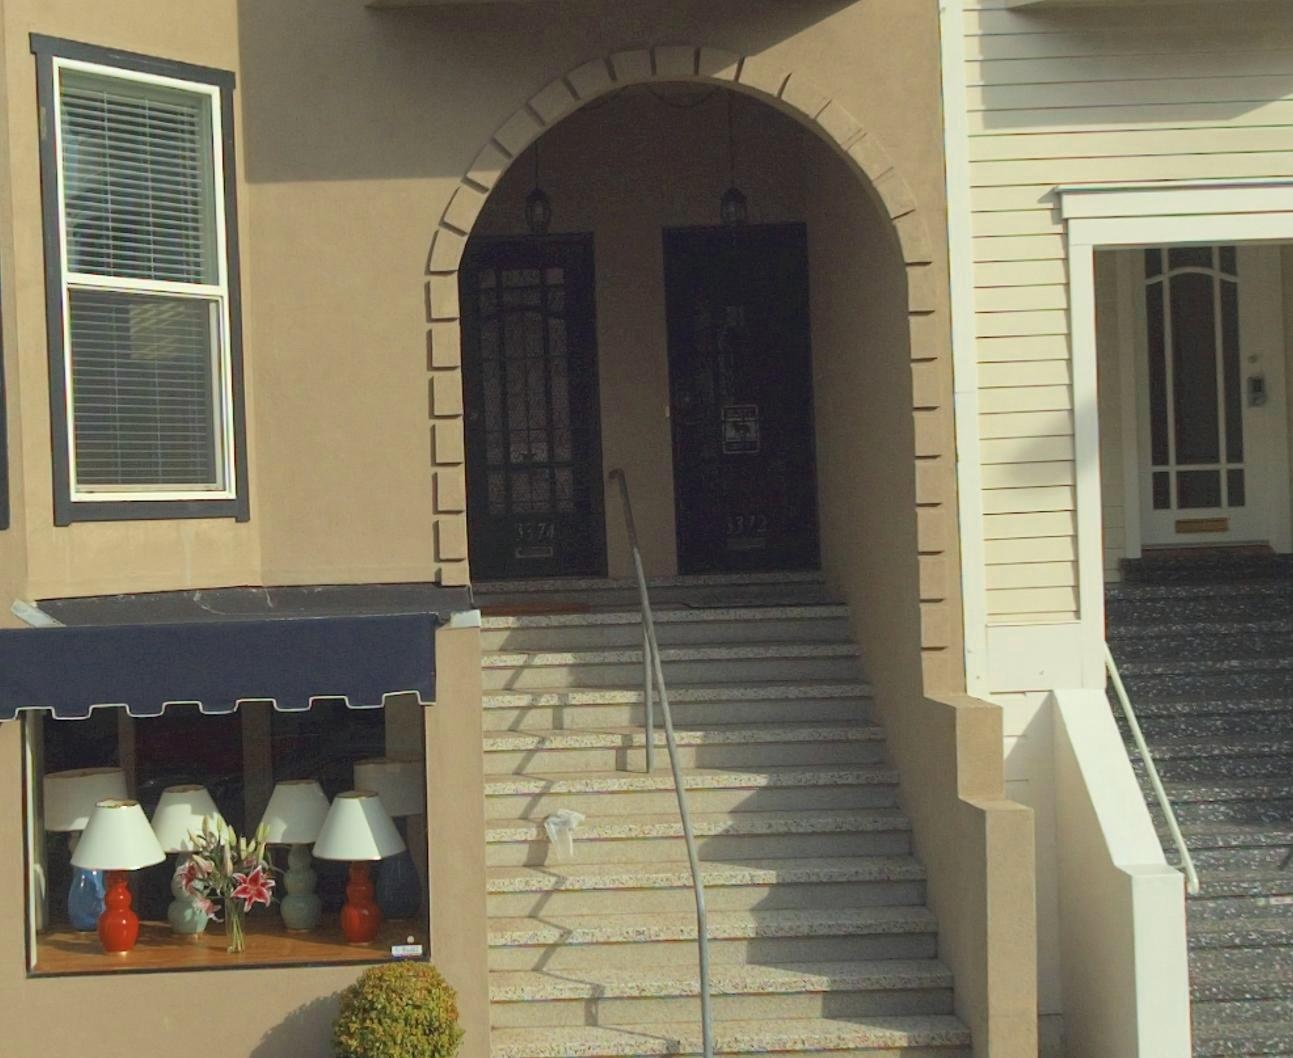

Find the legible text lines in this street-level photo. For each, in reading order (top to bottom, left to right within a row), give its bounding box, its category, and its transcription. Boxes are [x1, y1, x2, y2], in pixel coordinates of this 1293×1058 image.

[511, 520, 557, 543] StreetNumber: 3374
[722, 512, 770, 537] StreetNumber: 3372